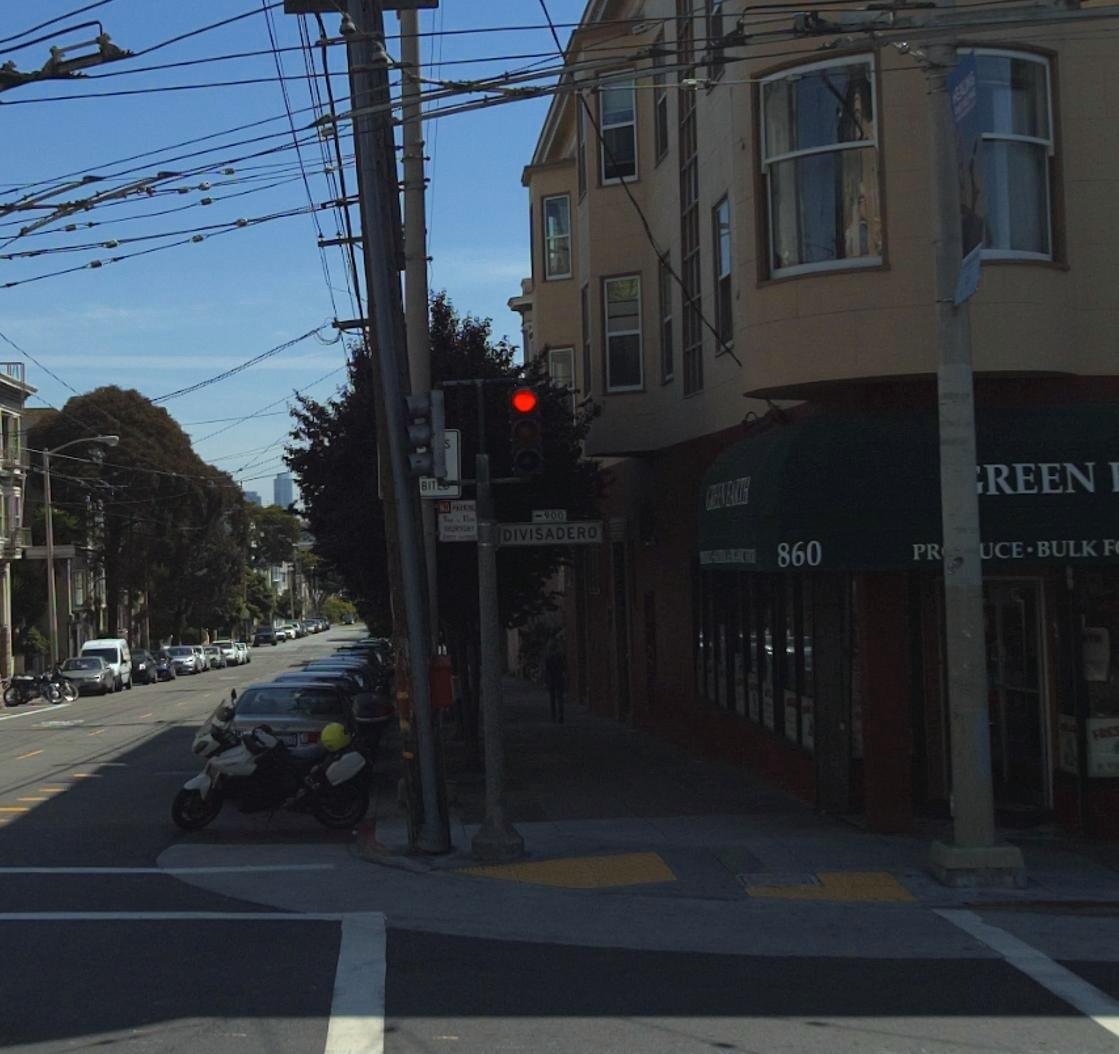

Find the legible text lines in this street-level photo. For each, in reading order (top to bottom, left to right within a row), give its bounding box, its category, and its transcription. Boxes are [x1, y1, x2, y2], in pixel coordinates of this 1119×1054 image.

[420, 479, 436, 490] None: BI*
[703, 475, 751, 511] None: GREEN EARTH
[978, 458, 1099, 497] None: REEN
[438, 500, 475, 514] None: NO PARKING
[531, 509, 564, 521] StreetNumberRange: <-900
[500, 525, 598, 542] StreetName: DIVISADERO
[774, 539, 822, 568] StreetNumber: 860
[911, 542, 942, 564] None: PR
[978, 536, 1118, 562] None: UCE BULK F